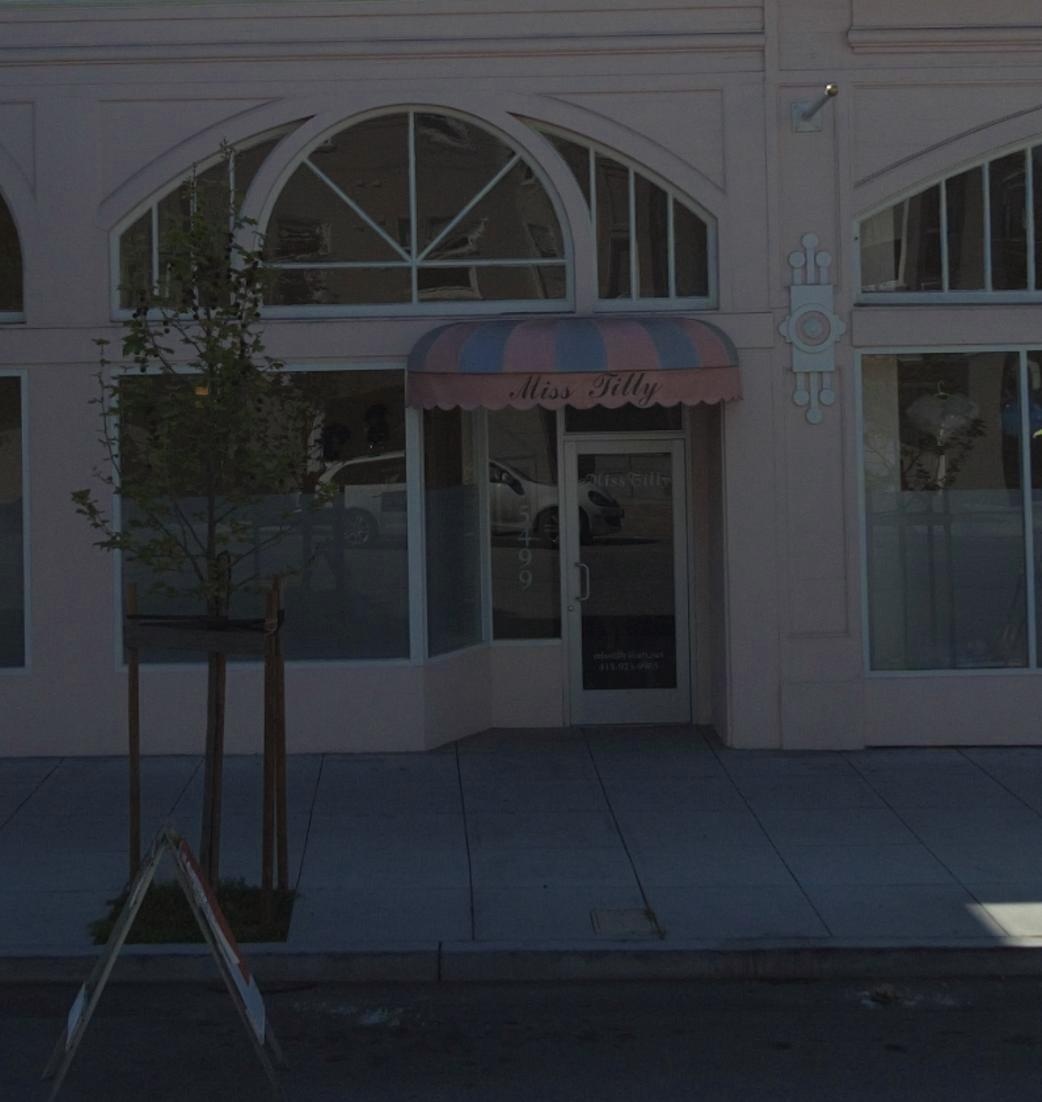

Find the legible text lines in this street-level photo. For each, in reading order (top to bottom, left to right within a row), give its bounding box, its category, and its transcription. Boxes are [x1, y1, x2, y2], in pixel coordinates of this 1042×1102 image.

[506, 371, 673, 407] BusinessName: Miss Tilly
[582, 470, 668, 487] BusinessName: Miss Tilly
[516, 504, 535, 593] StreetNumber: 5499